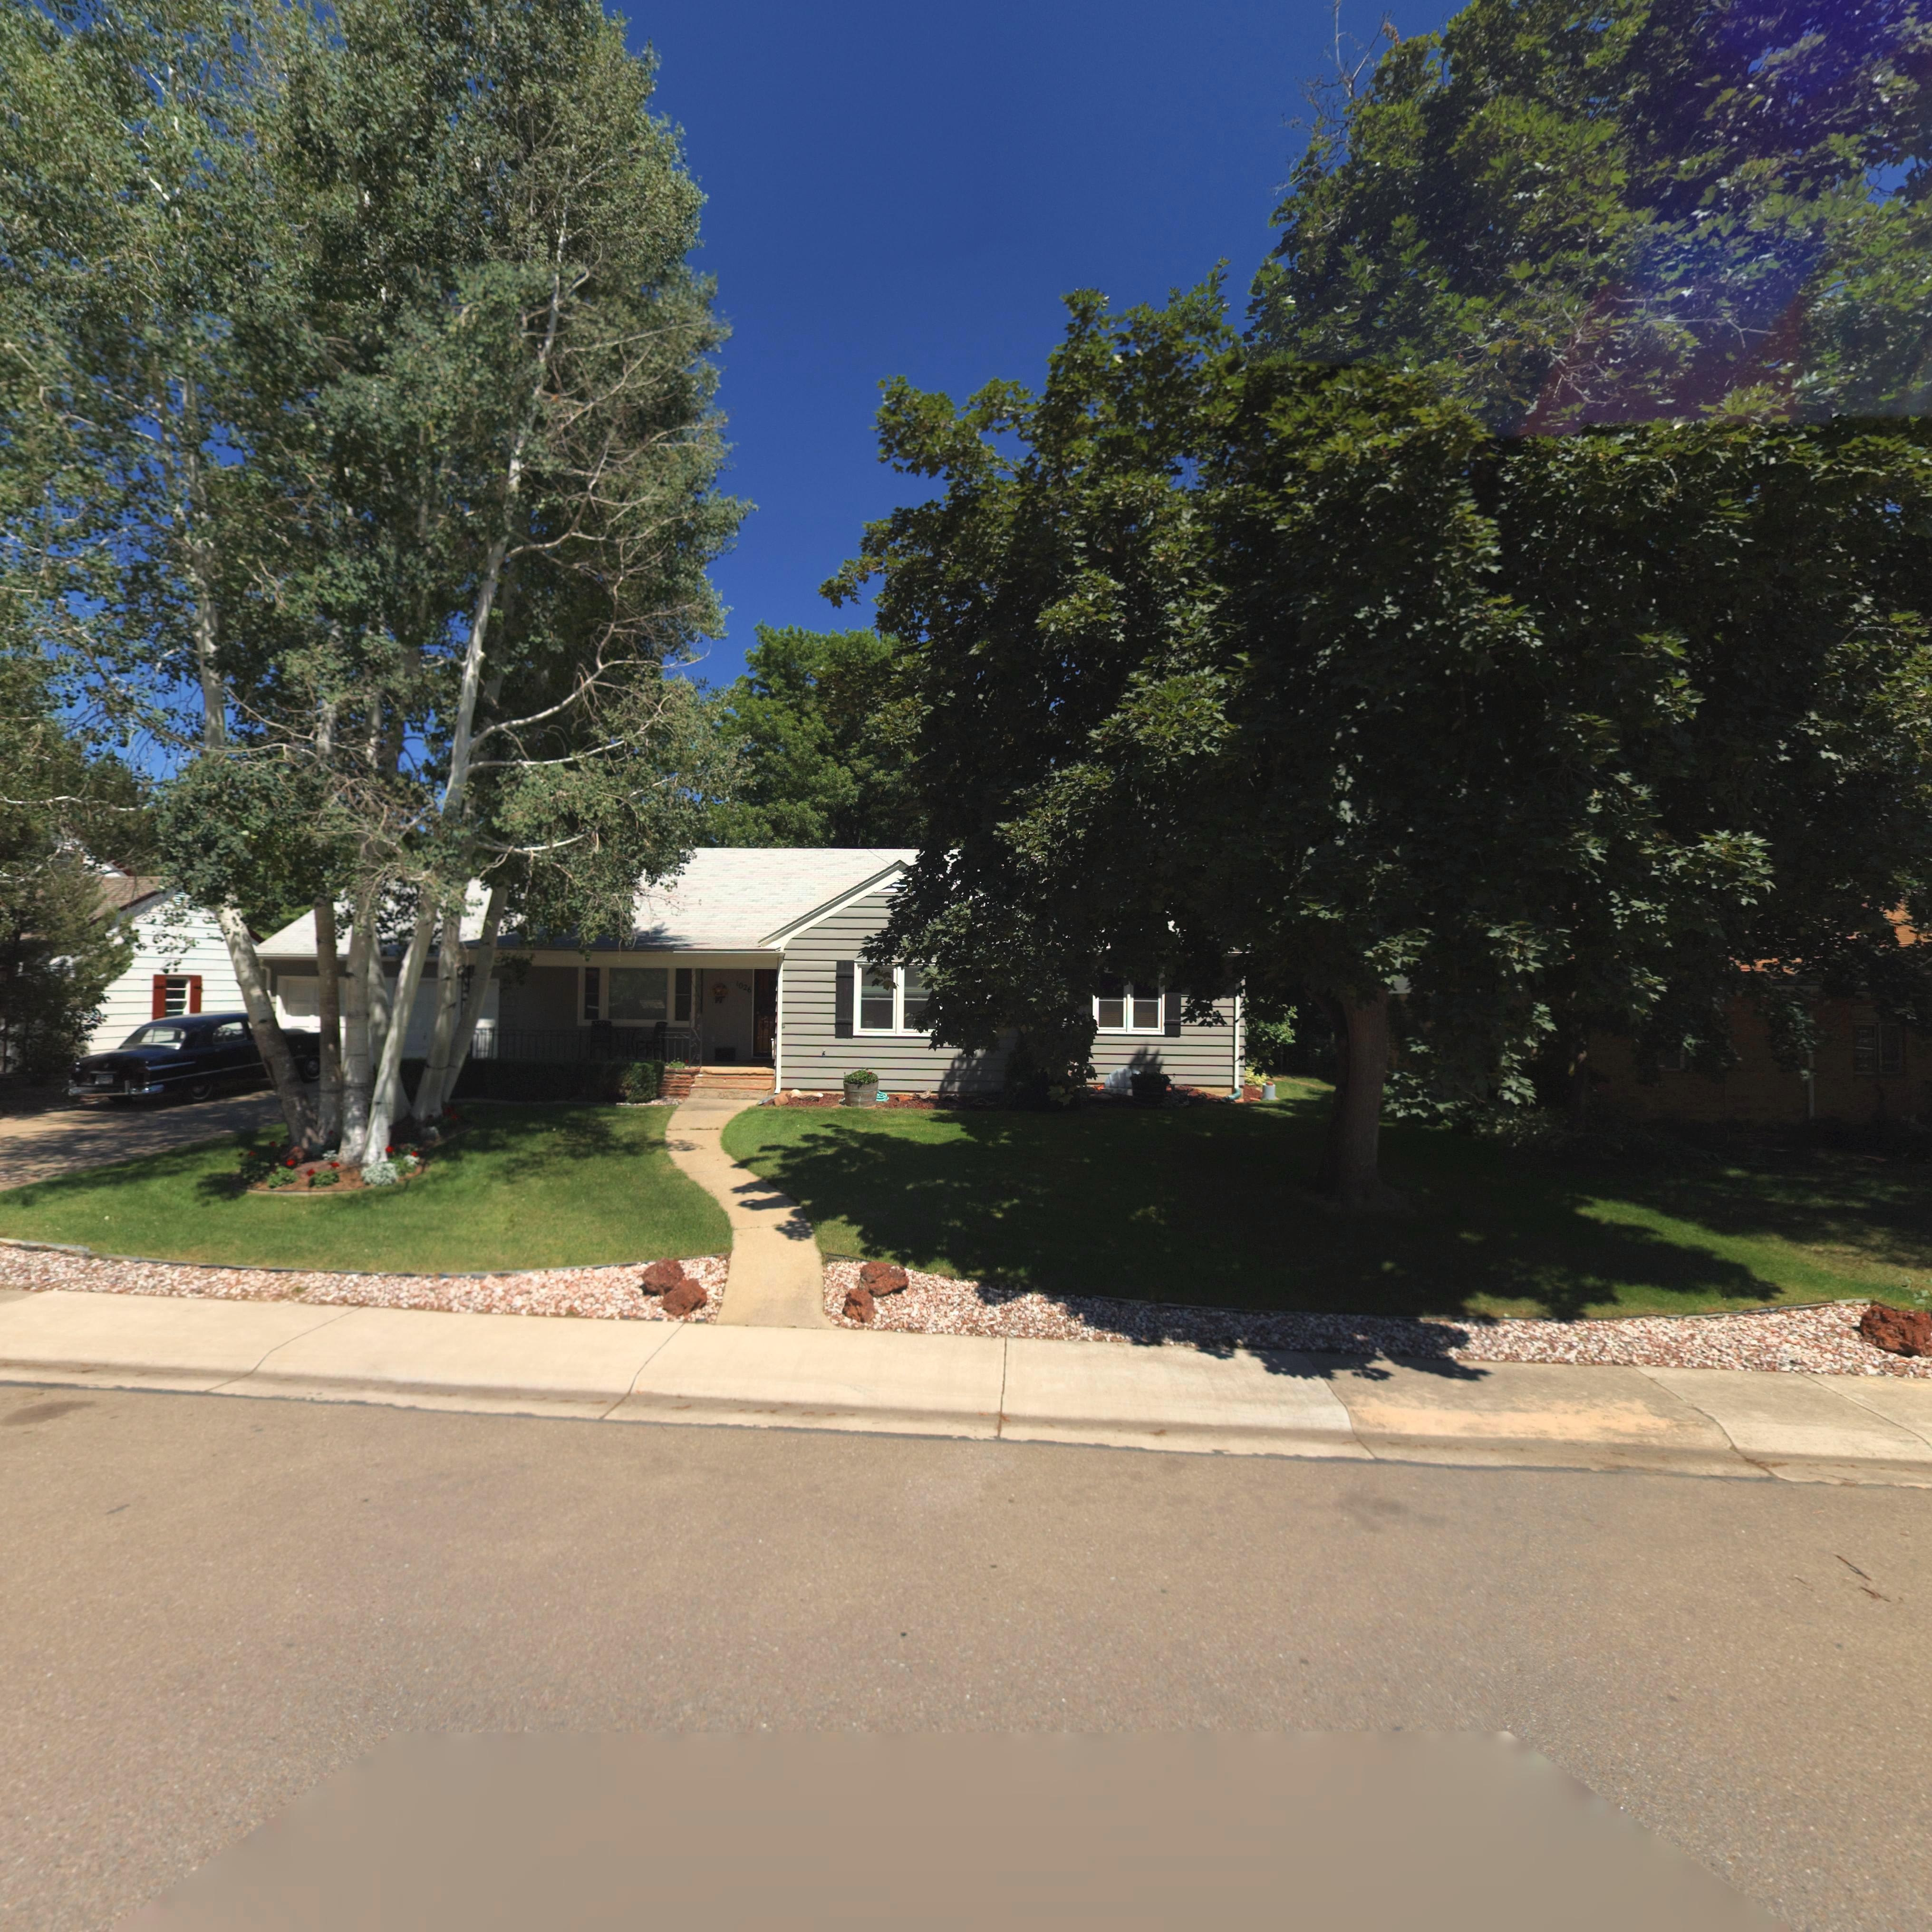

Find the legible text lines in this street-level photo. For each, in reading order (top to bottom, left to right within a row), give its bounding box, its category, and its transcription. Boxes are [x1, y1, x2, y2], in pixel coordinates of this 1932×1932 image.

[735, 980, 751, 993] StreetNumber: 1026